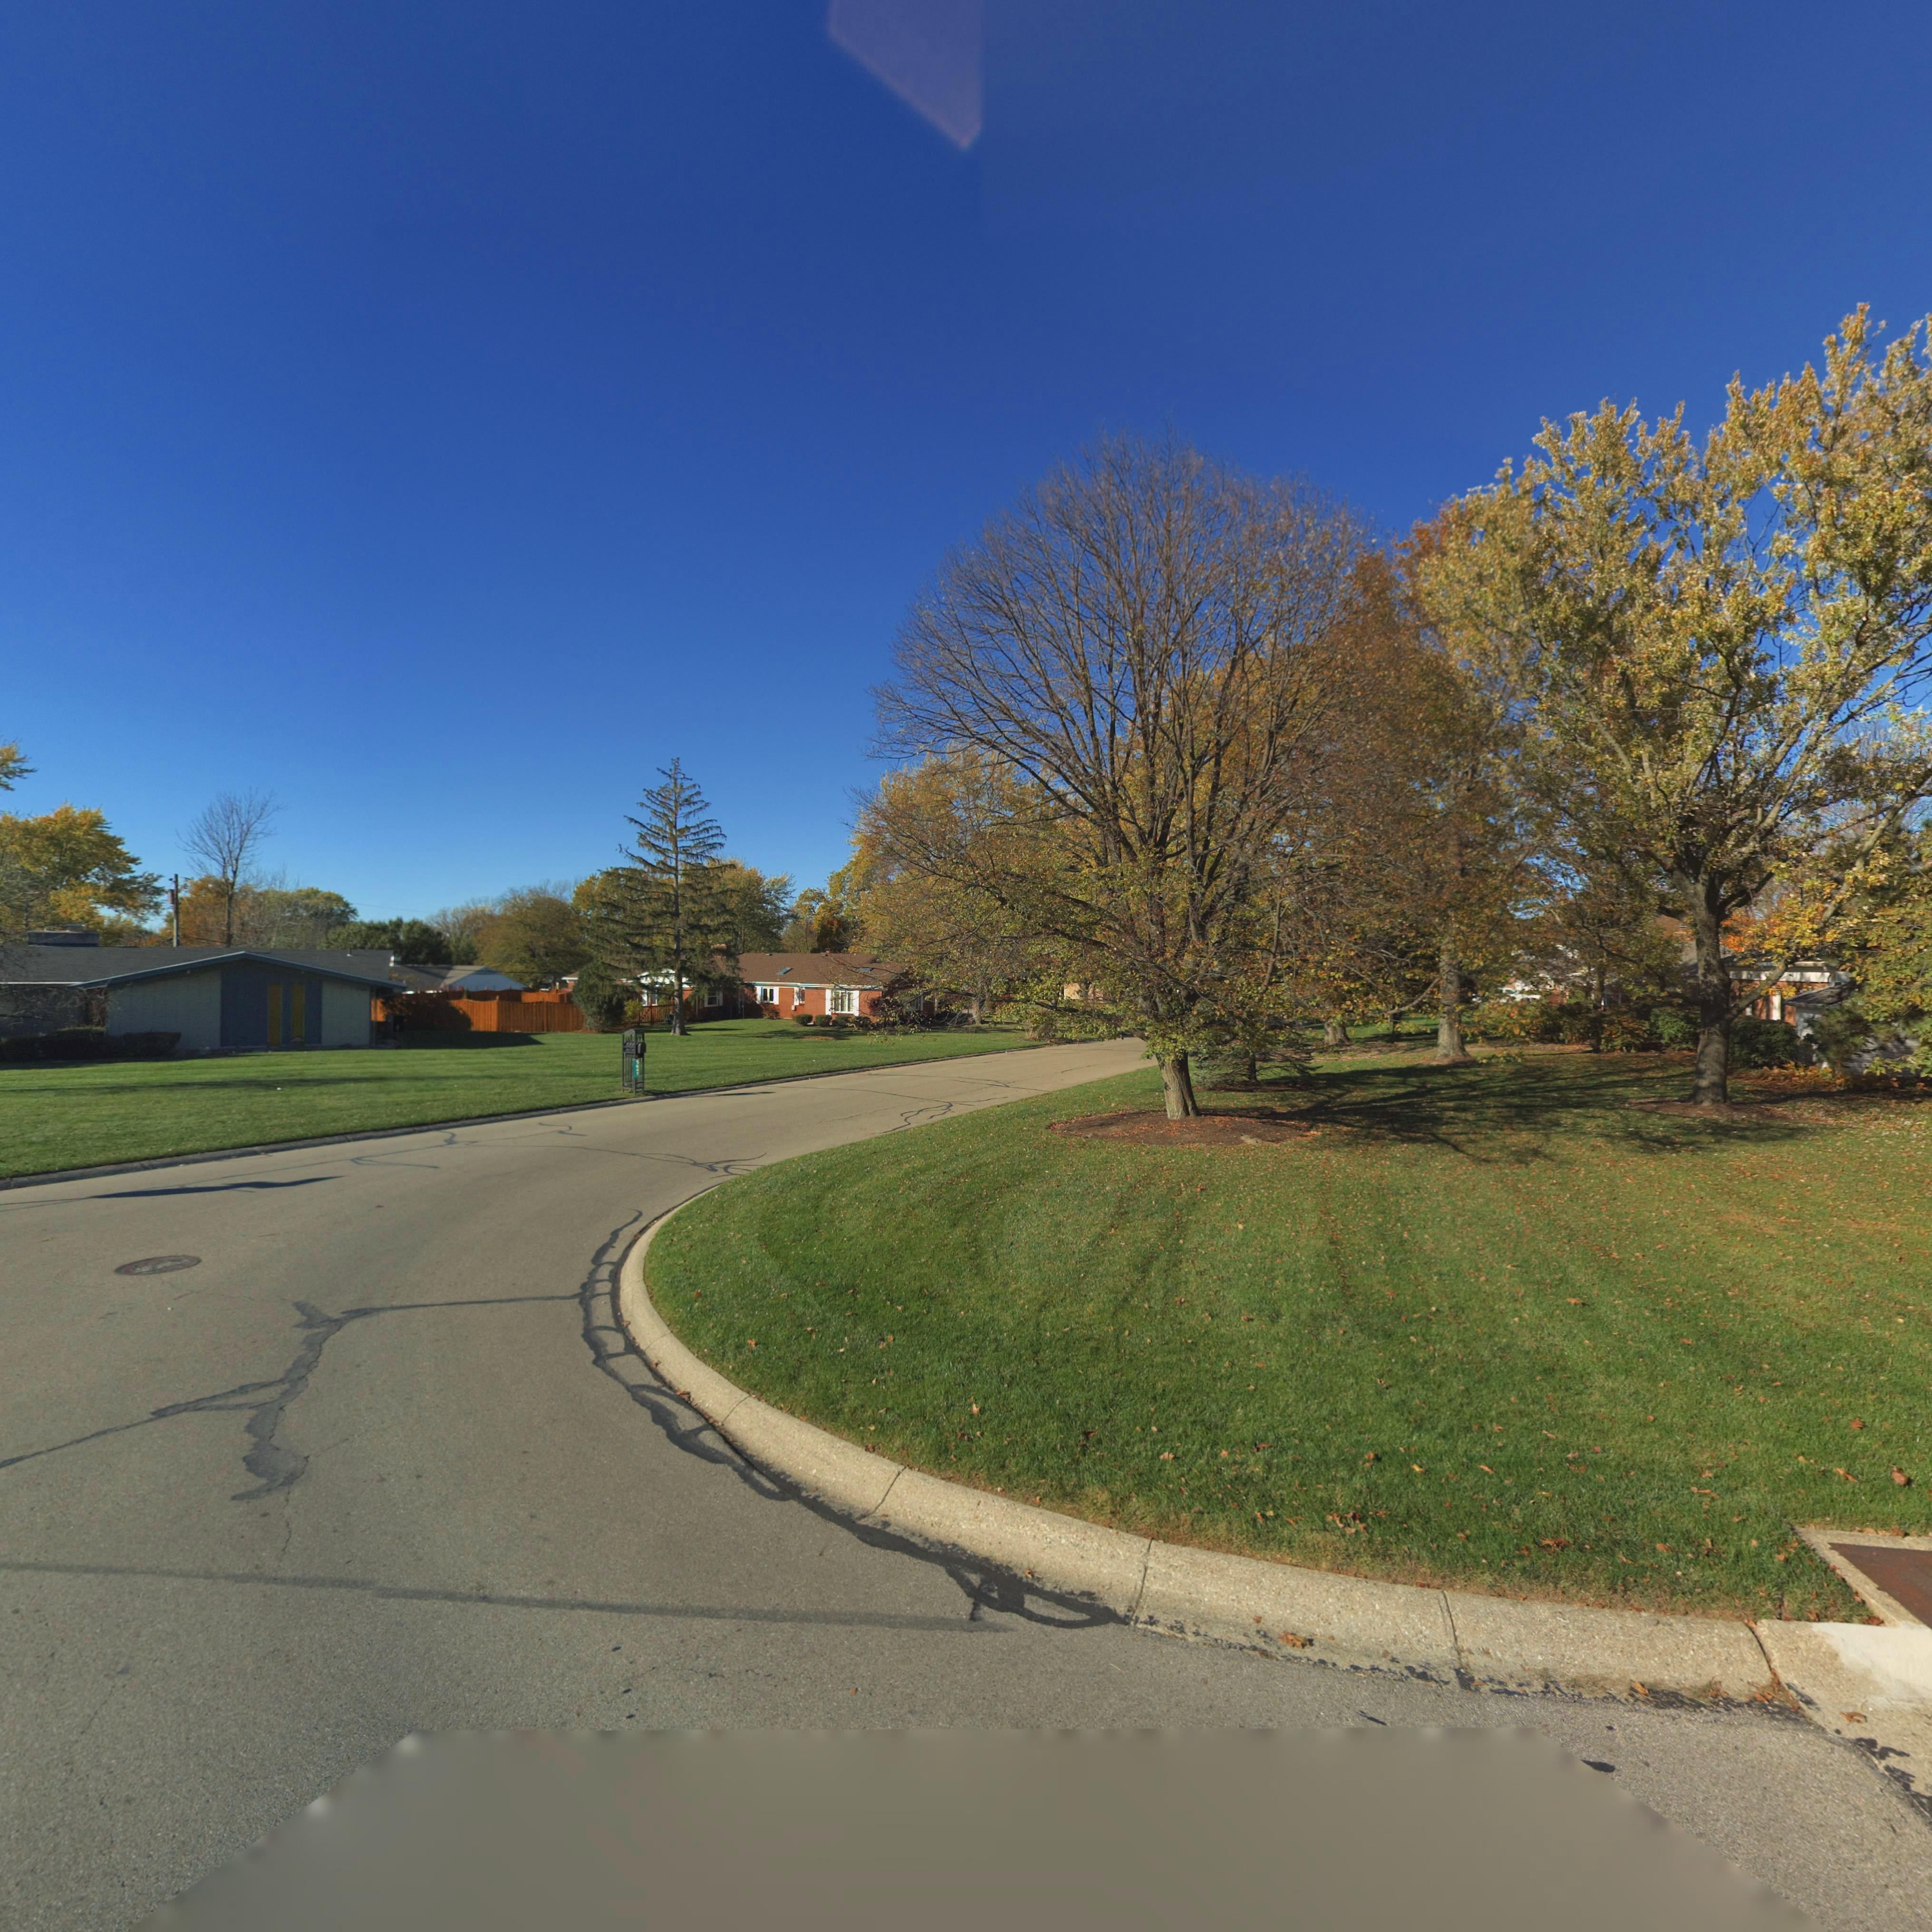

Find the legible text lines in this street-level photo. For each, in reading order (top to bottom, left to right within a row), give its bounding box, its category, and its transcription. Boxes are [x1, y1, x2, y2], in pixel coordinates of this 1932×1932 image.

[635, 1059, 639, 1076] StreetNumber: 5647